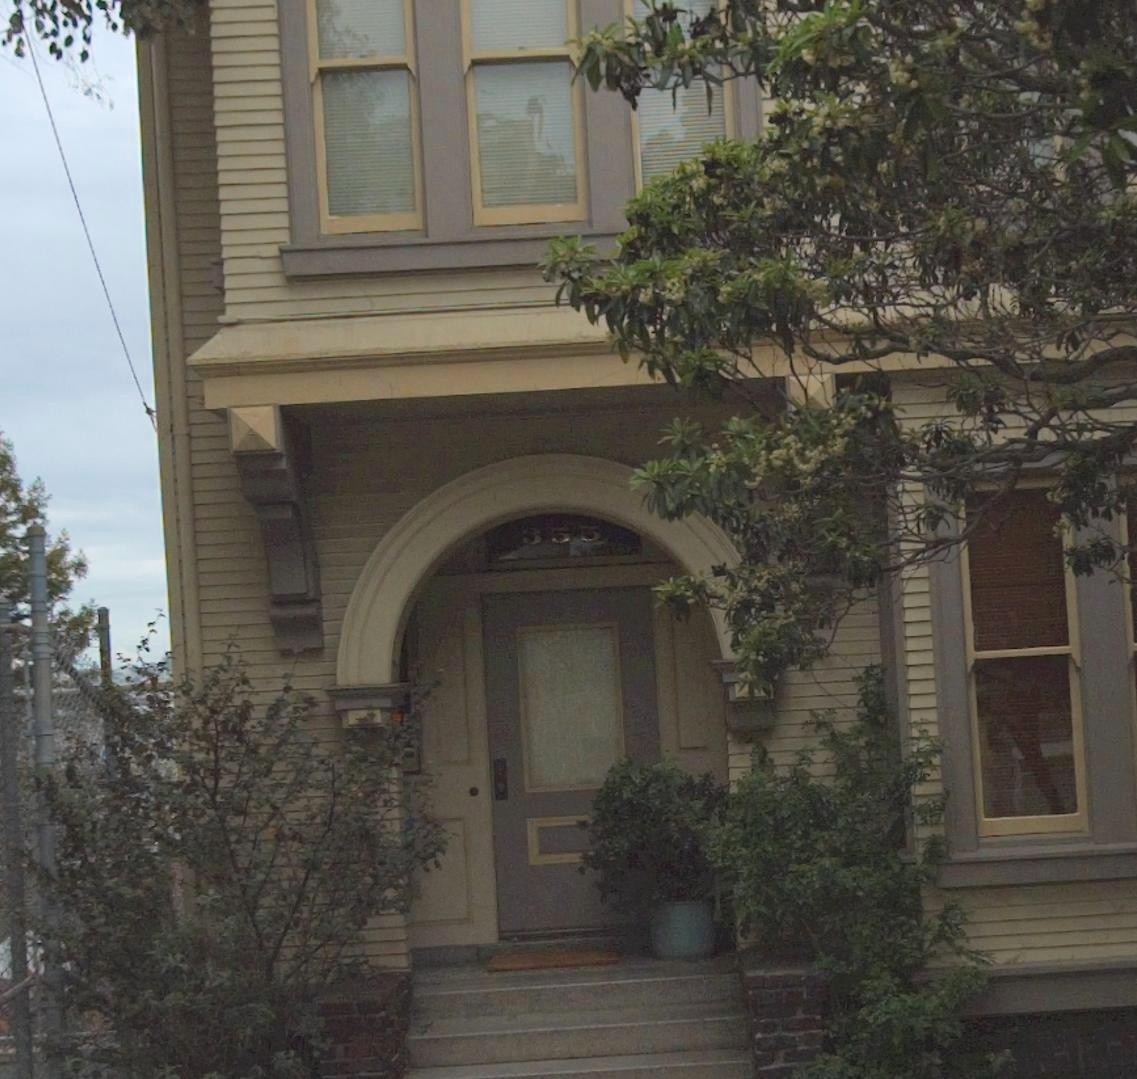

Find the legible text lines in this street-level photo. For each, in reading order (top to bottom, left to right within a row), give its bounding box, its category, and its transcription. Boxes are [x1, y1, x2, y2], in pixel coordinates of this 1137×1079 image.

[519, 523, 602, 546] StreetNumber: 355